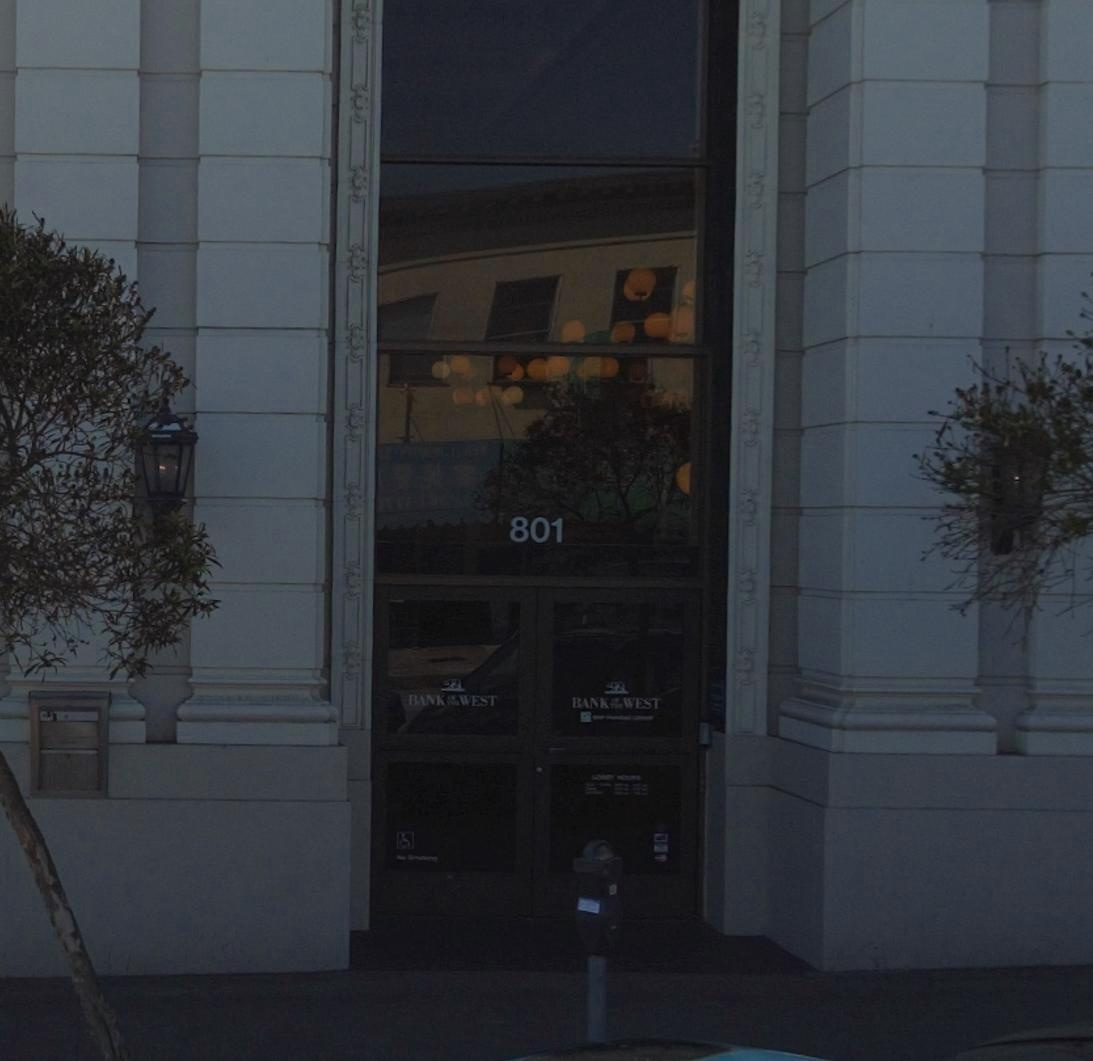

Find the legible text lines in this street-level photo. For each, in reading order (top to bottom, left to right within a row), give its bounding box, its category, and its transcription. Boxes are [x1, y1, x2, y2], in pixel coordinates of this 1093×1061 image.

[506, 513, 565, 545] StreetNumber: 801
[407, 692, 498, 709] BusinessName: BANK*WEST
[571, 695, 661, 711] BusinessName: BANK*WEST